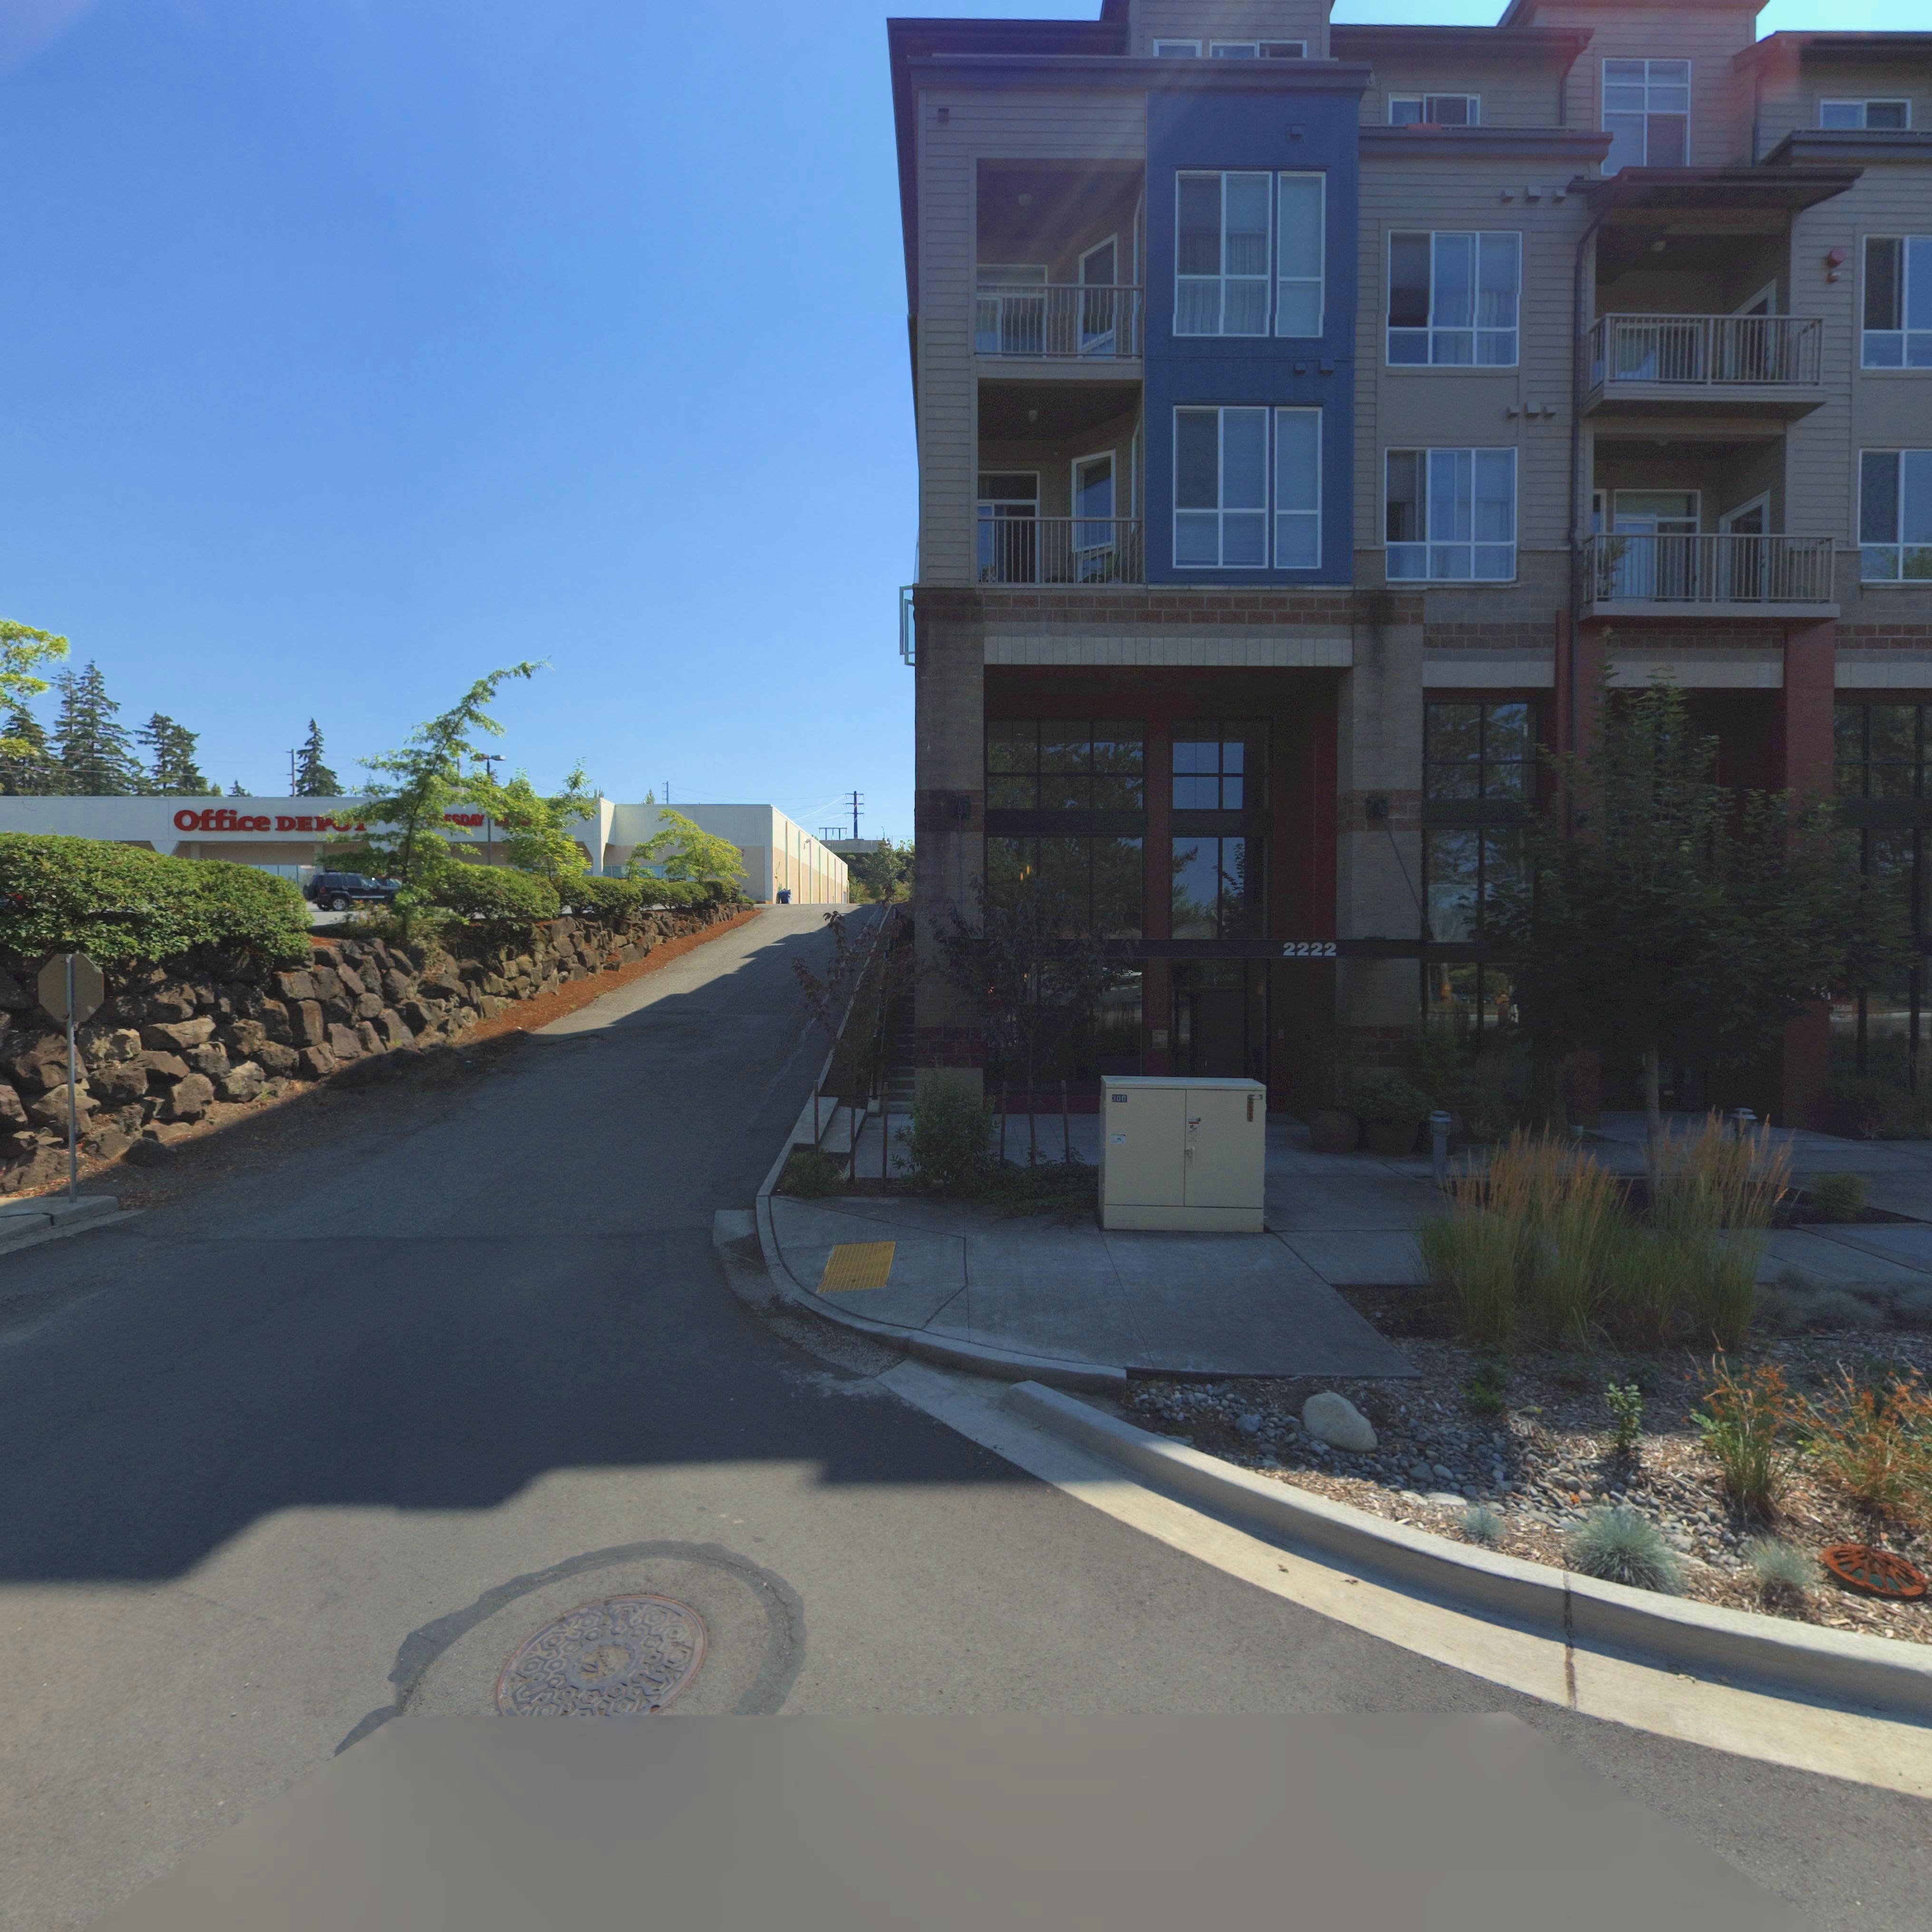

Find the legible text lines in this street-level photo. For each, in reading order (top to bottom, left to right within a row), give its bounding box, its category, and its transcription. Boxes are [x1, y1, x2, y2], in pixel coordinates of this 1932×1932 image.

[163, 799, 381, 837] BusinessName: Office DE***
[440, 810, 487, 828] BusinessName: *SDAY
[1283, 942, 1337, 956] StreetNumber: 2222